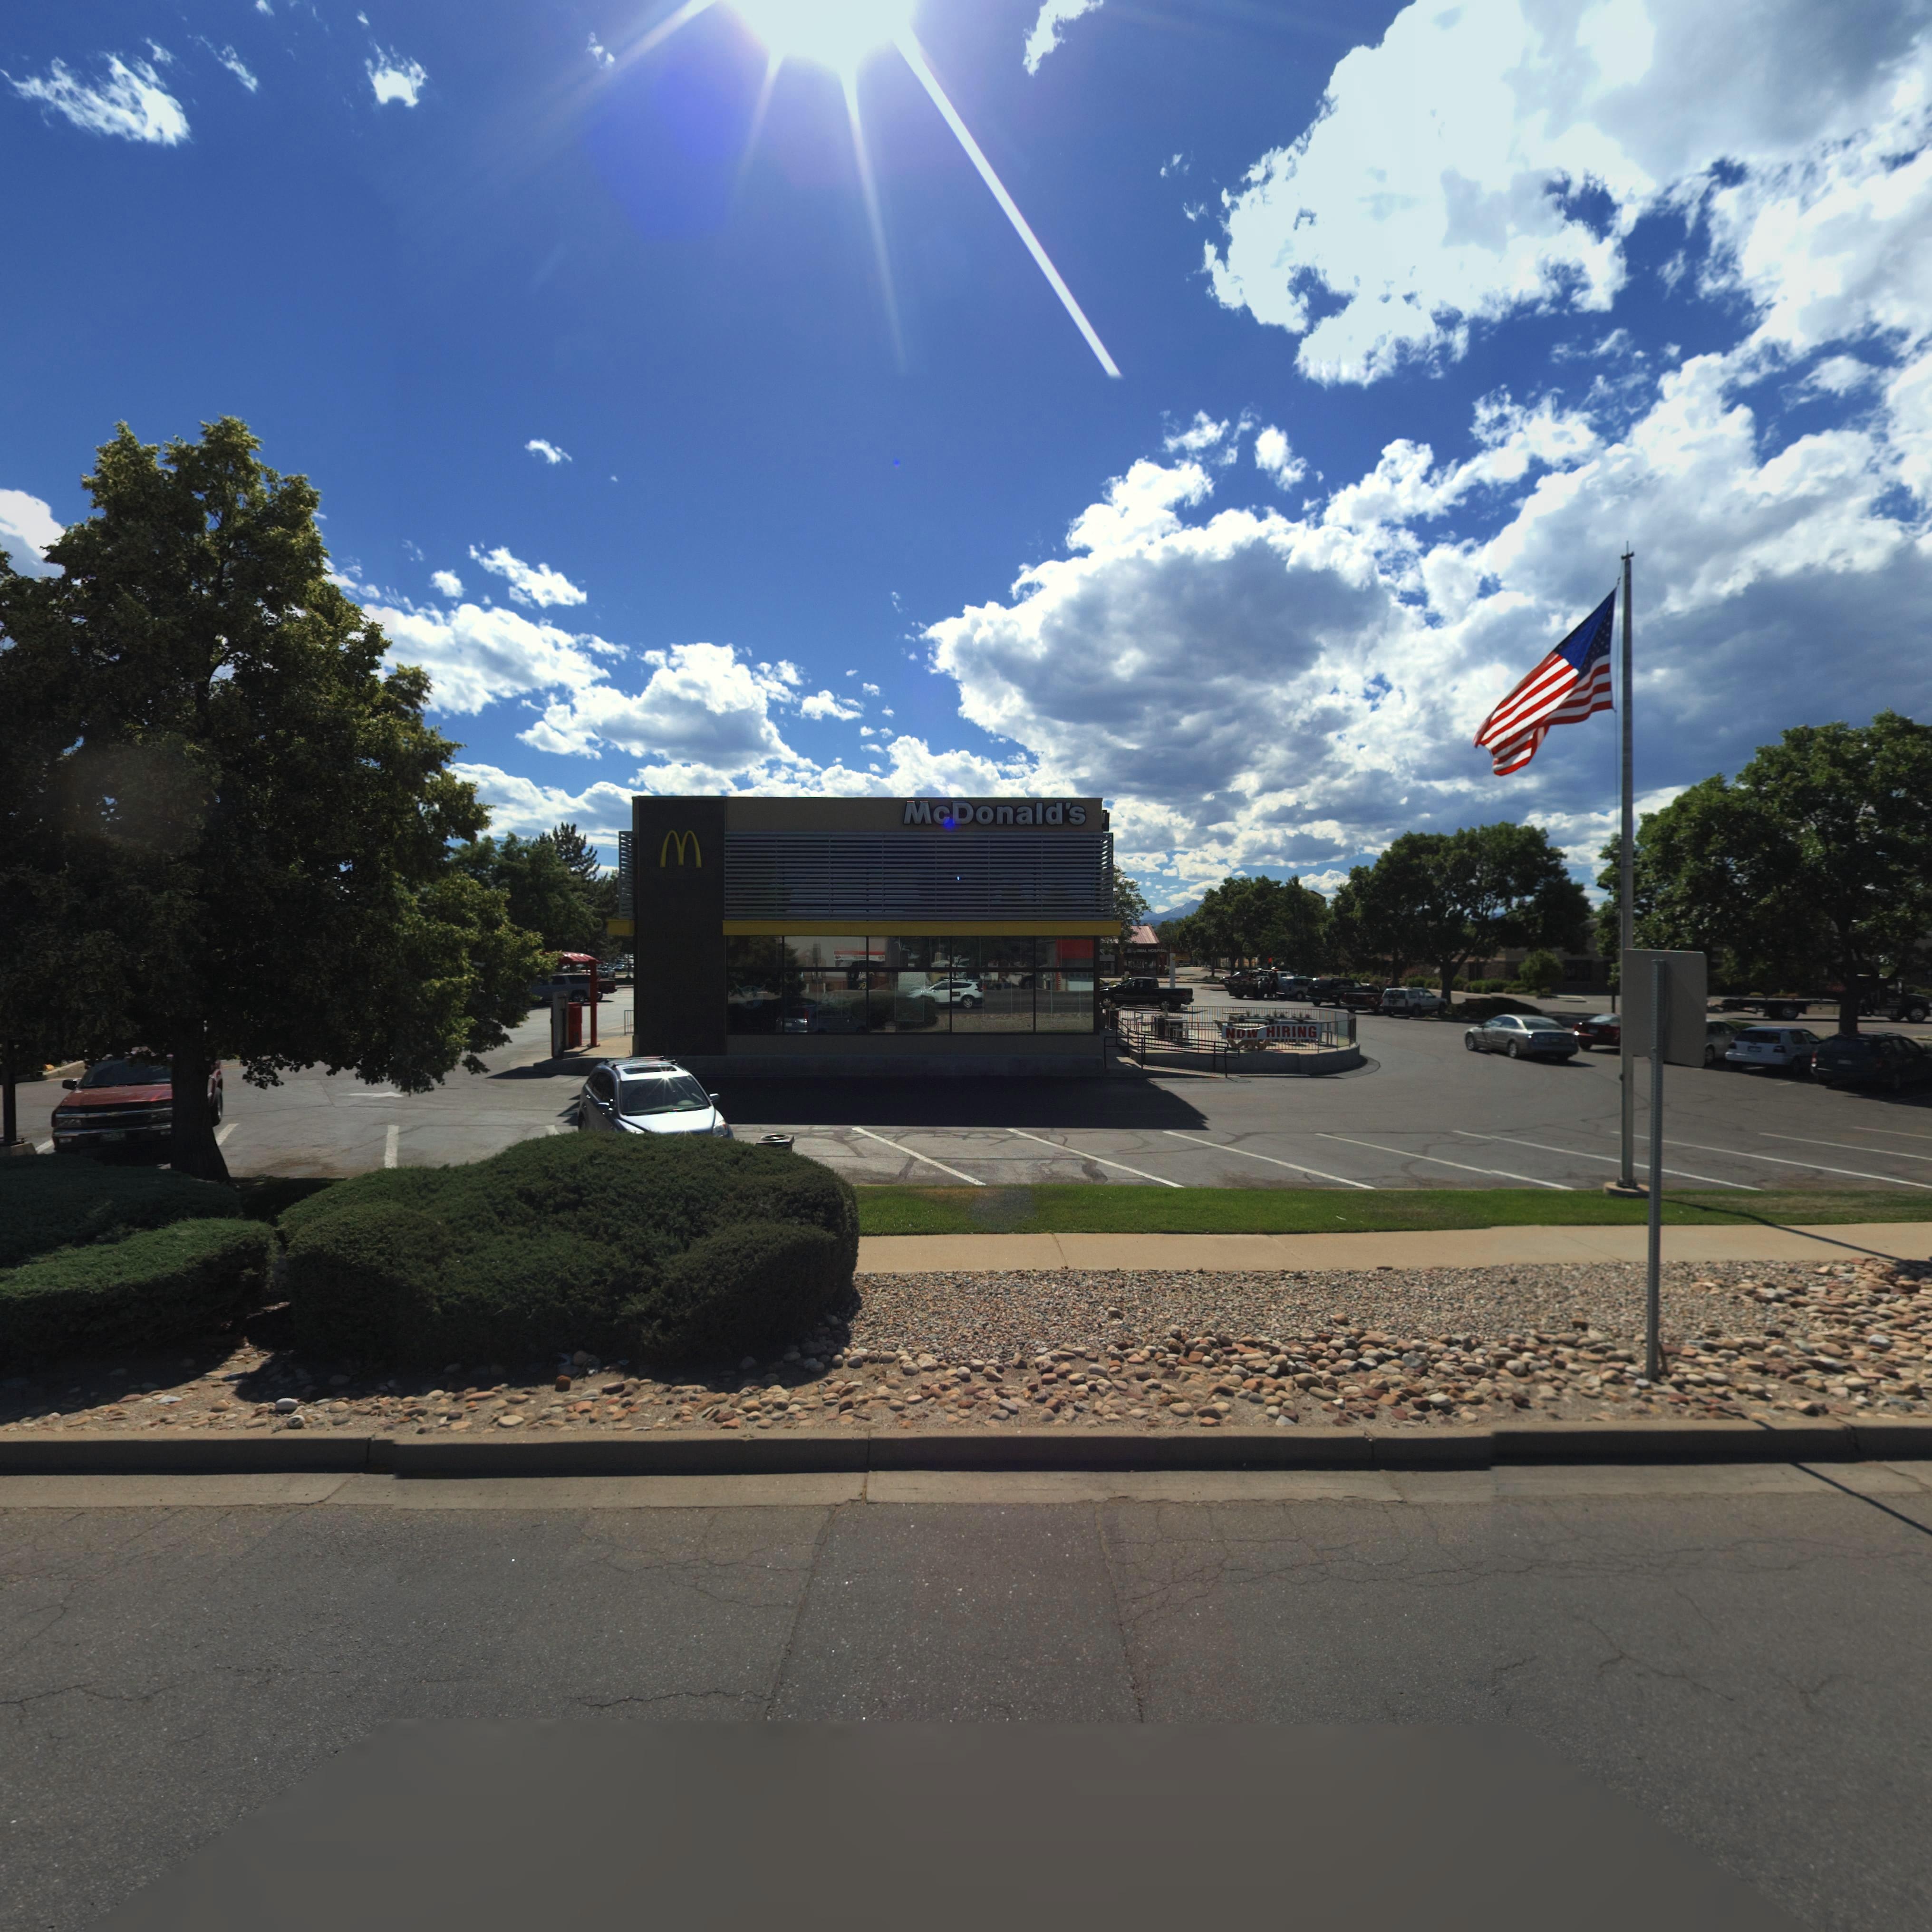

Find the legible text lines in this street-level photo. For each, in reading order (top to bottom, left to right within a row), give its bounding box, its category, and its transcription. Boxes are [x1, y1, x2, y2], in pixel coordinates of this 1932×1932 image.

[901, 800, 1087, 826] BusinessName: McDonald's